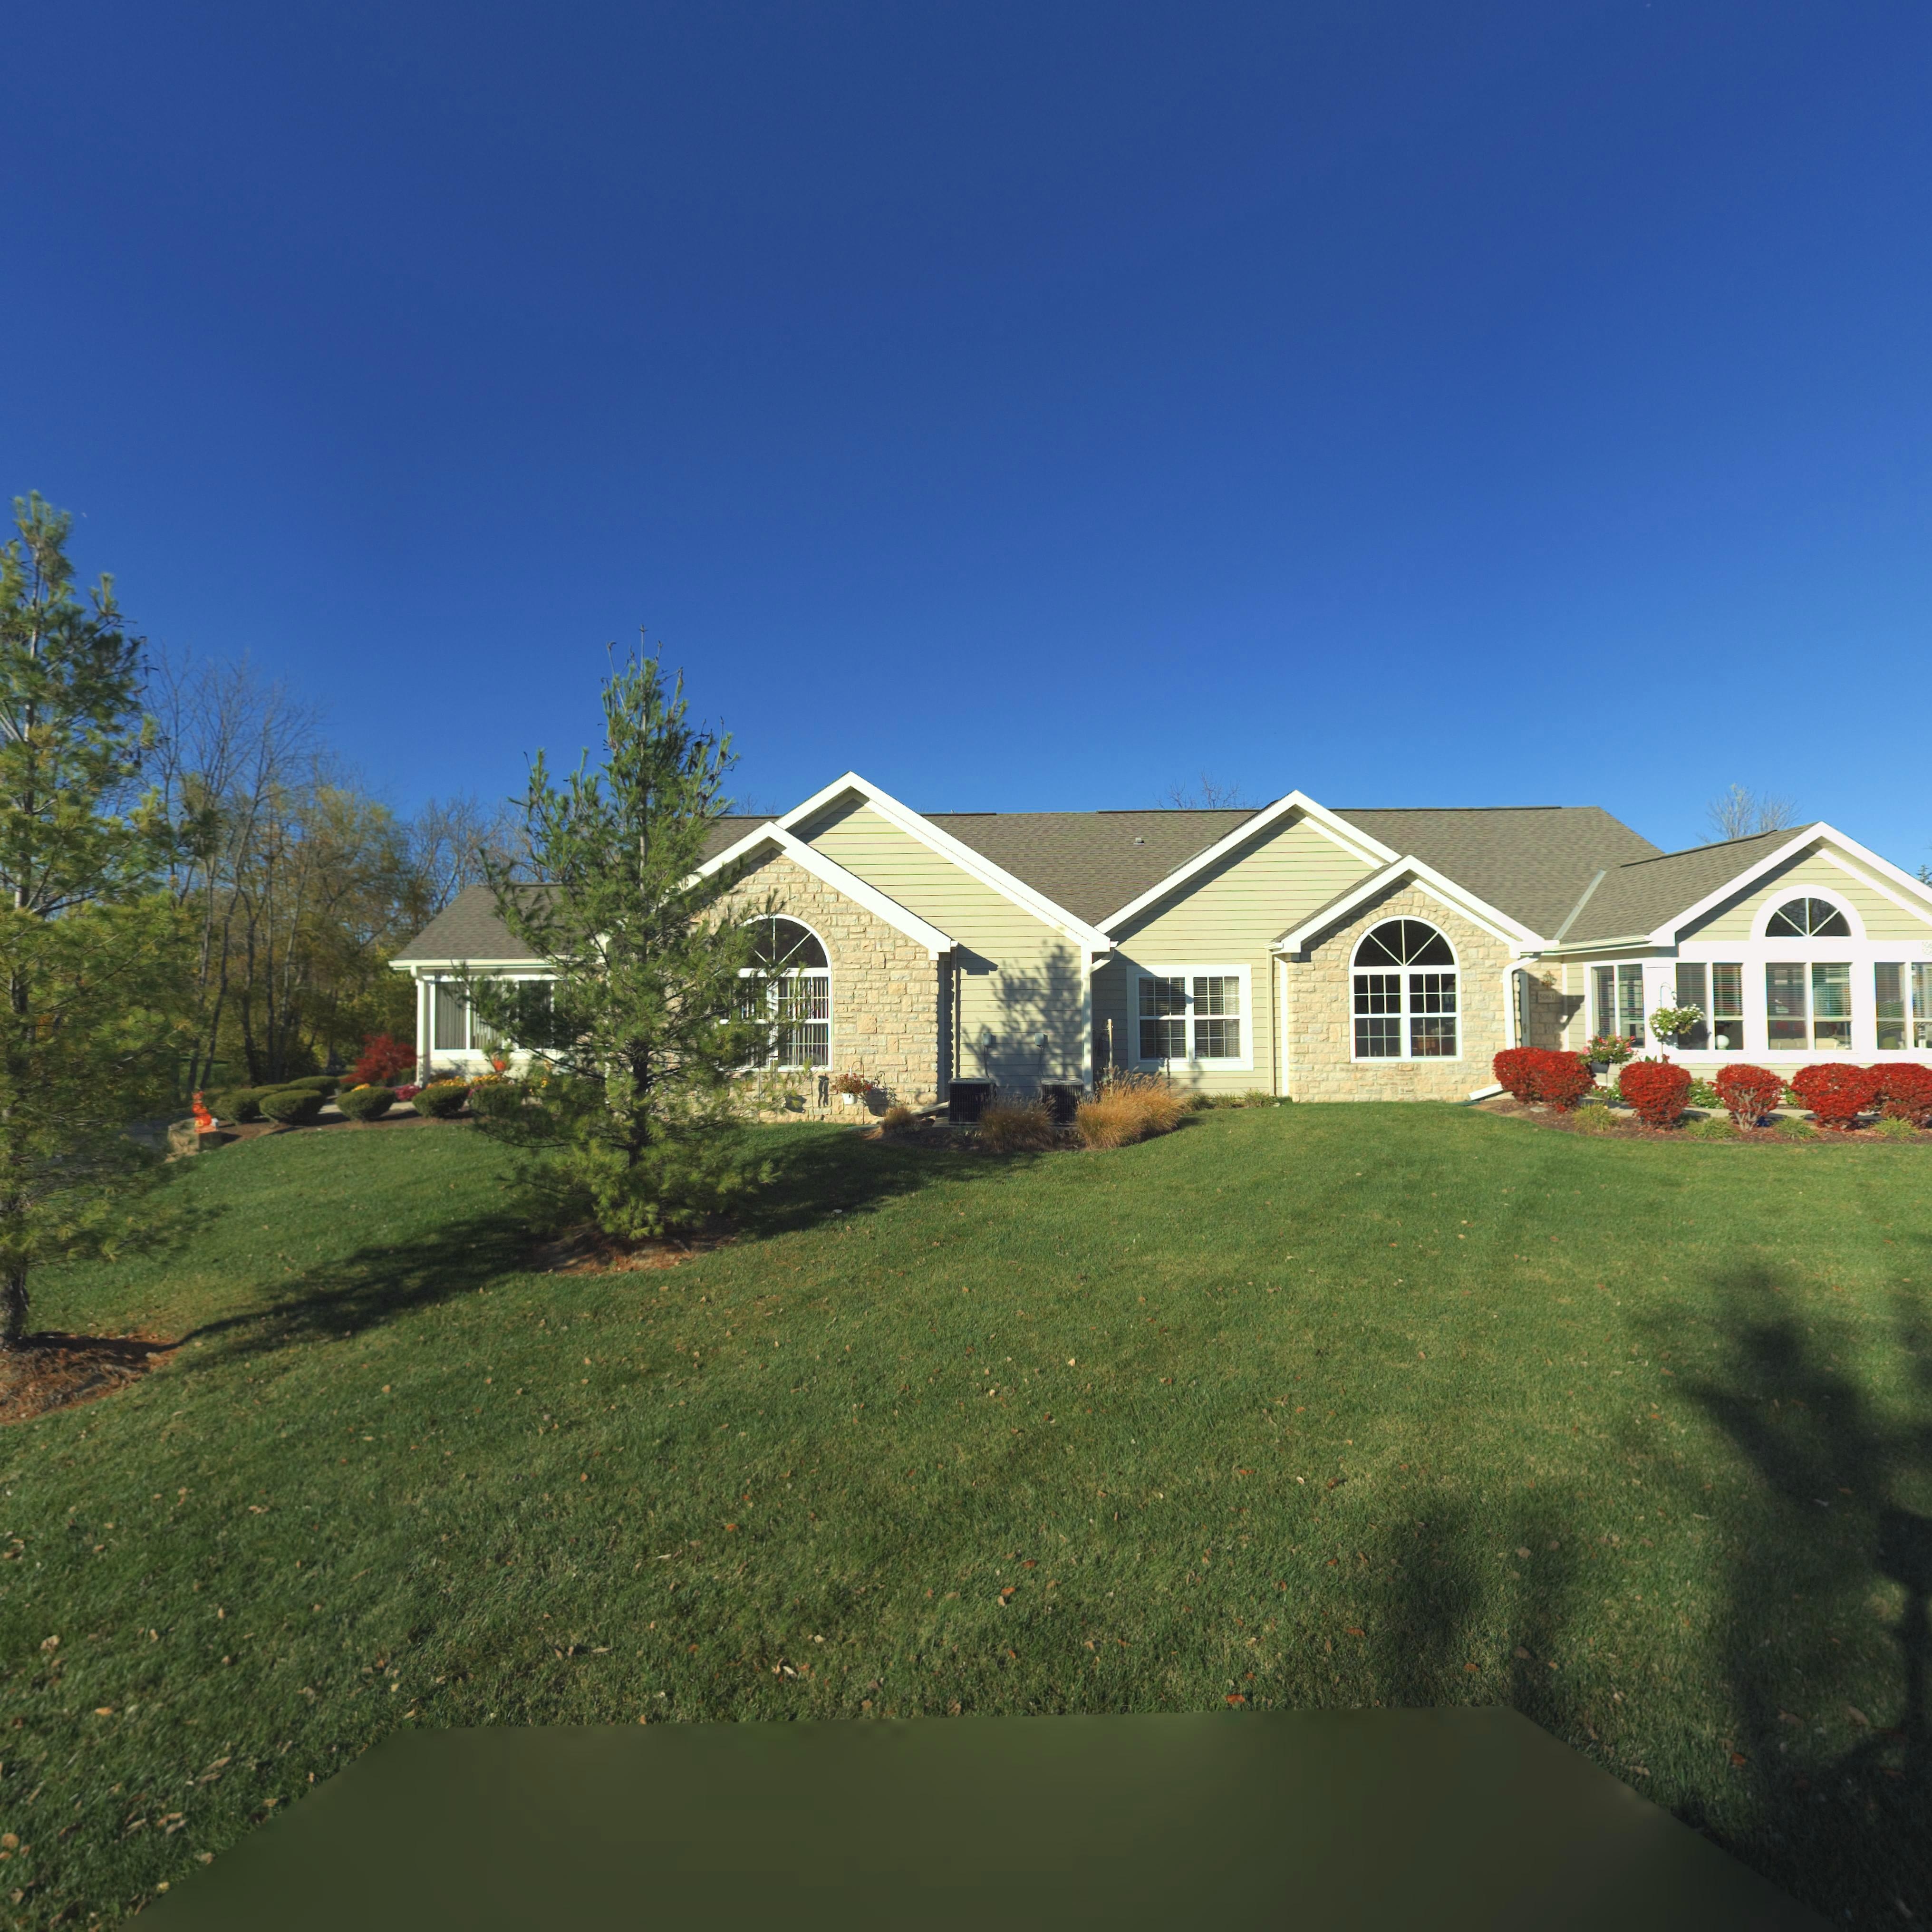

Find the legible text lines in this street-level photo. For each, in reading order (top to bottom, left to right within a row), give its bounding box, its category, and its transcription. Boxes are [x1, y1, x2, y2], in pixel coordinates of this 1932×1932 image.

[1538, 992, 1555, 1002] StreetNumber: 5061